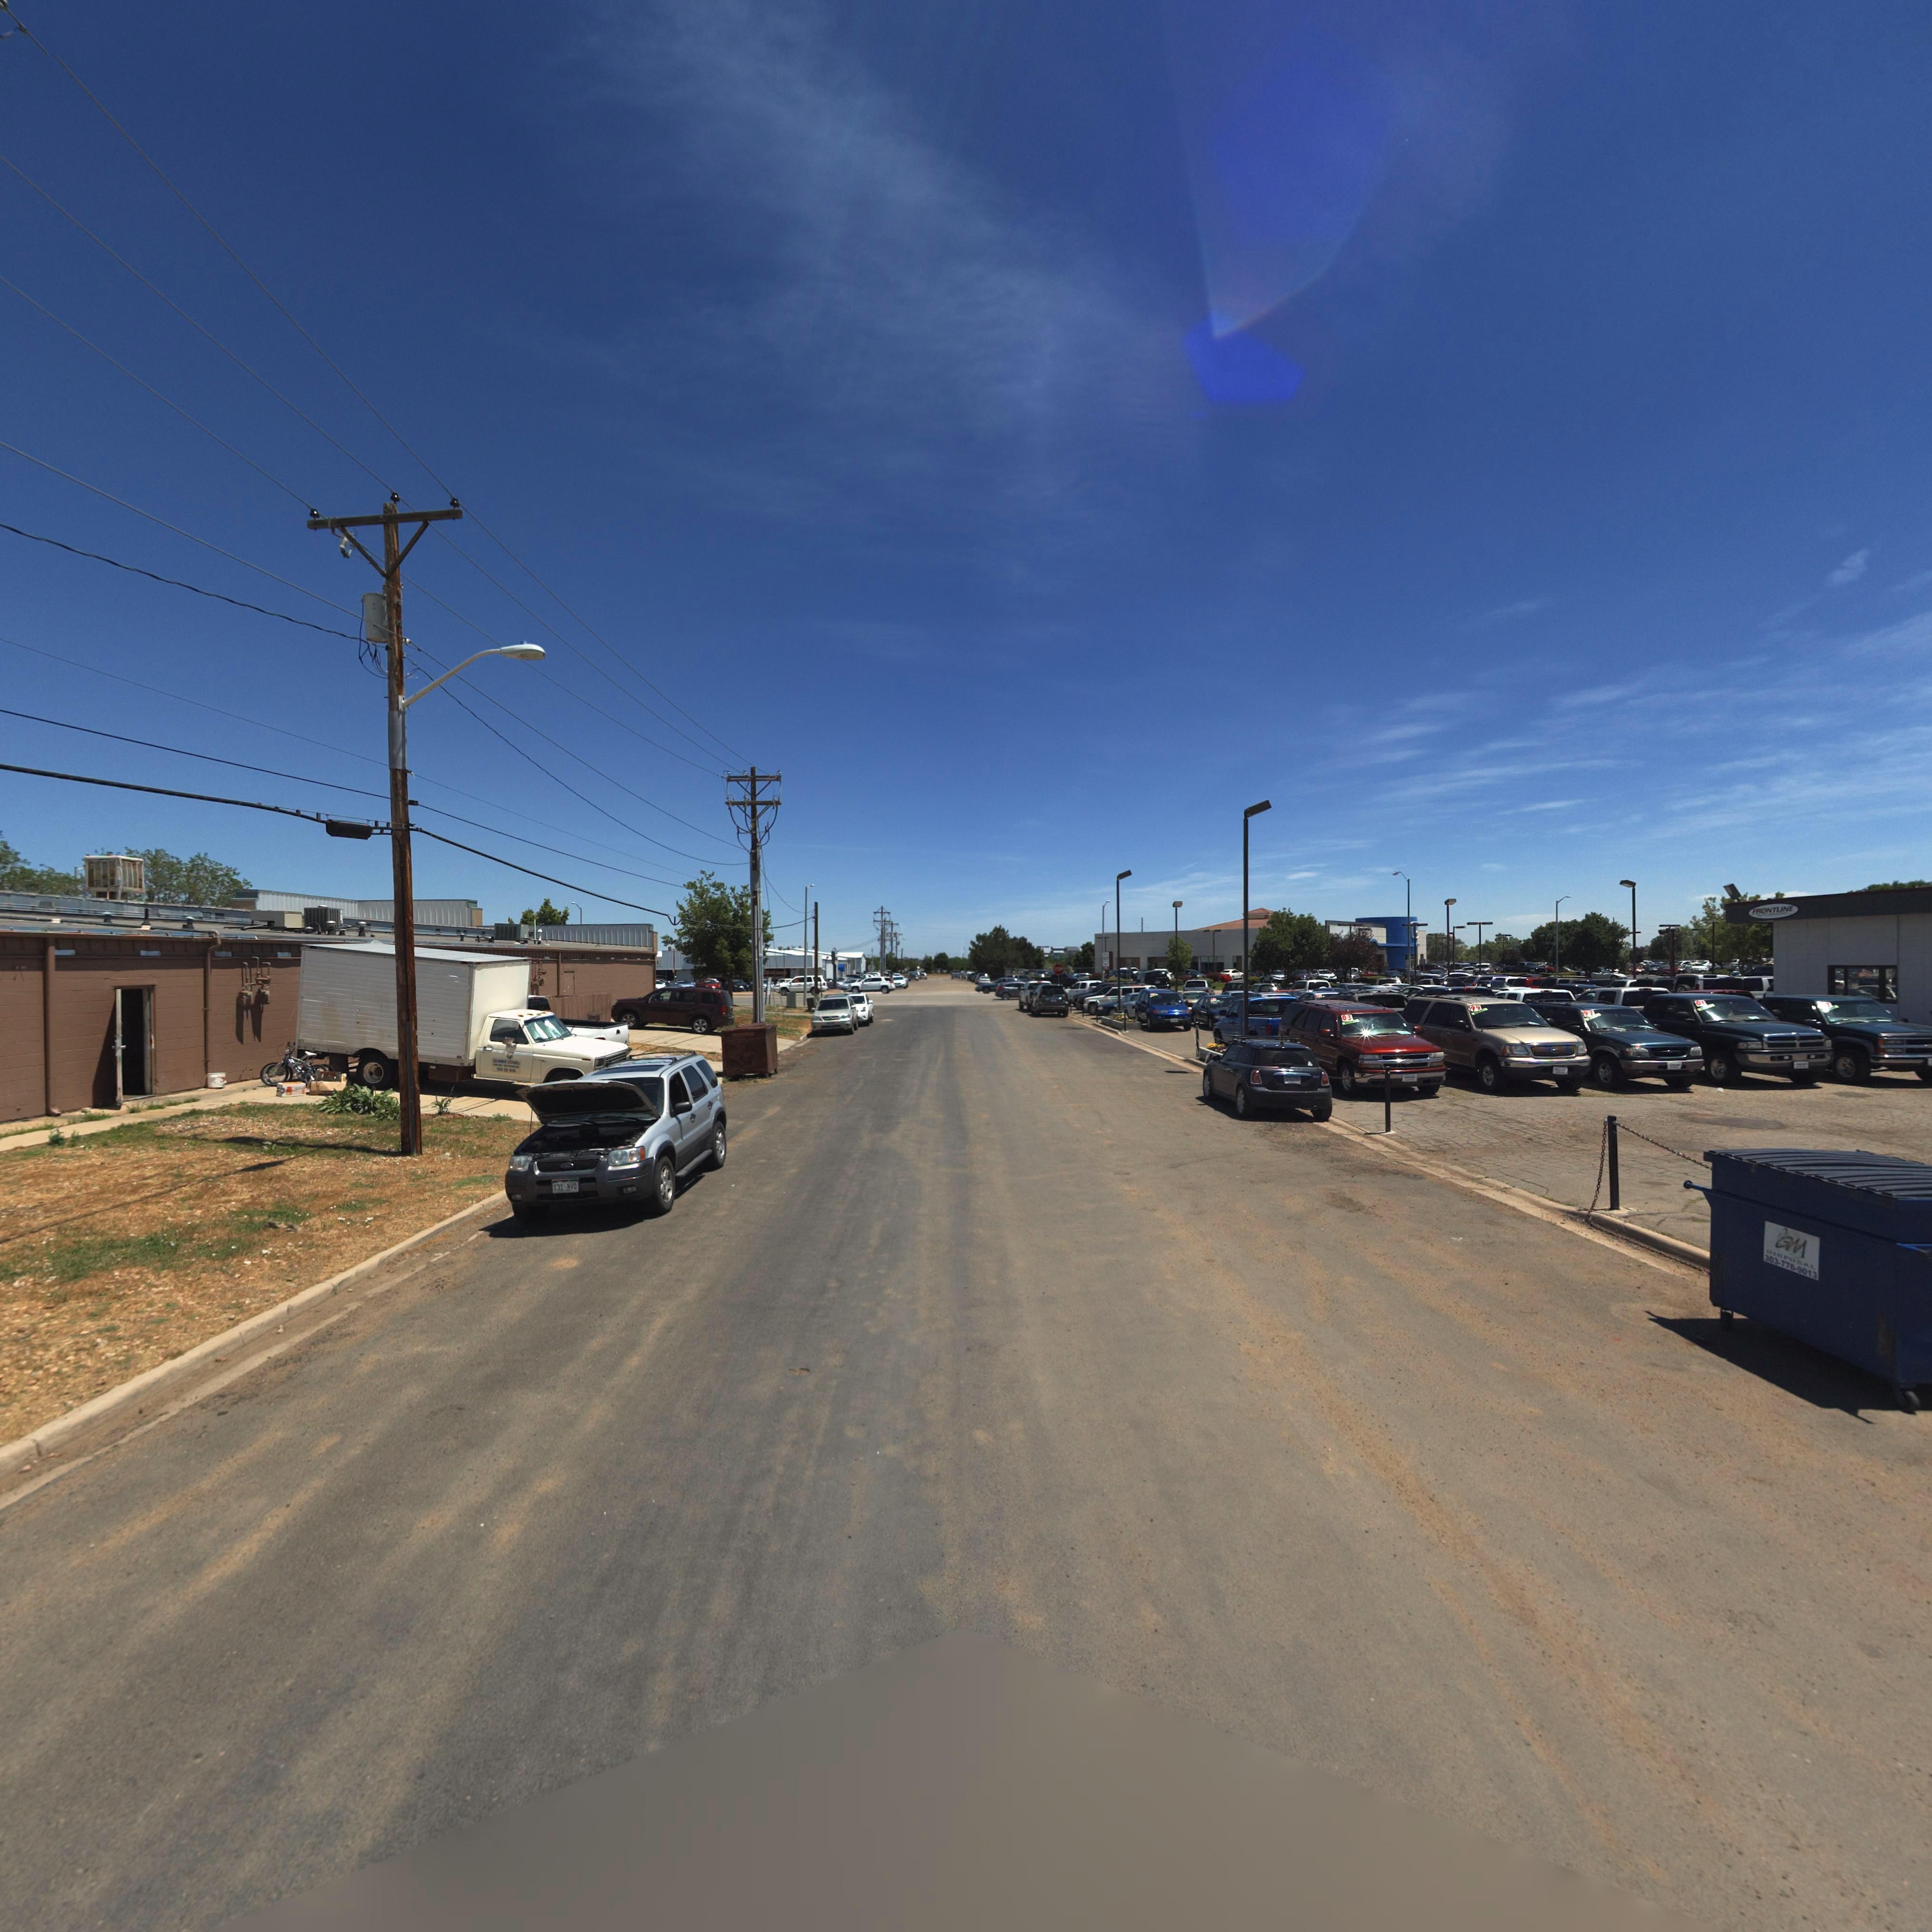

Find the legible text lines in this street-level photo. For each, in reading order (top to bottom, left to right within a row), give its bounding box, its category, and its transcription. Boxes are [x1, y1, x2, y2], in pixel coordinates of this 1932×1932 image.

[1752, 905, 1794, 914] BusinessName: FRONTLINE